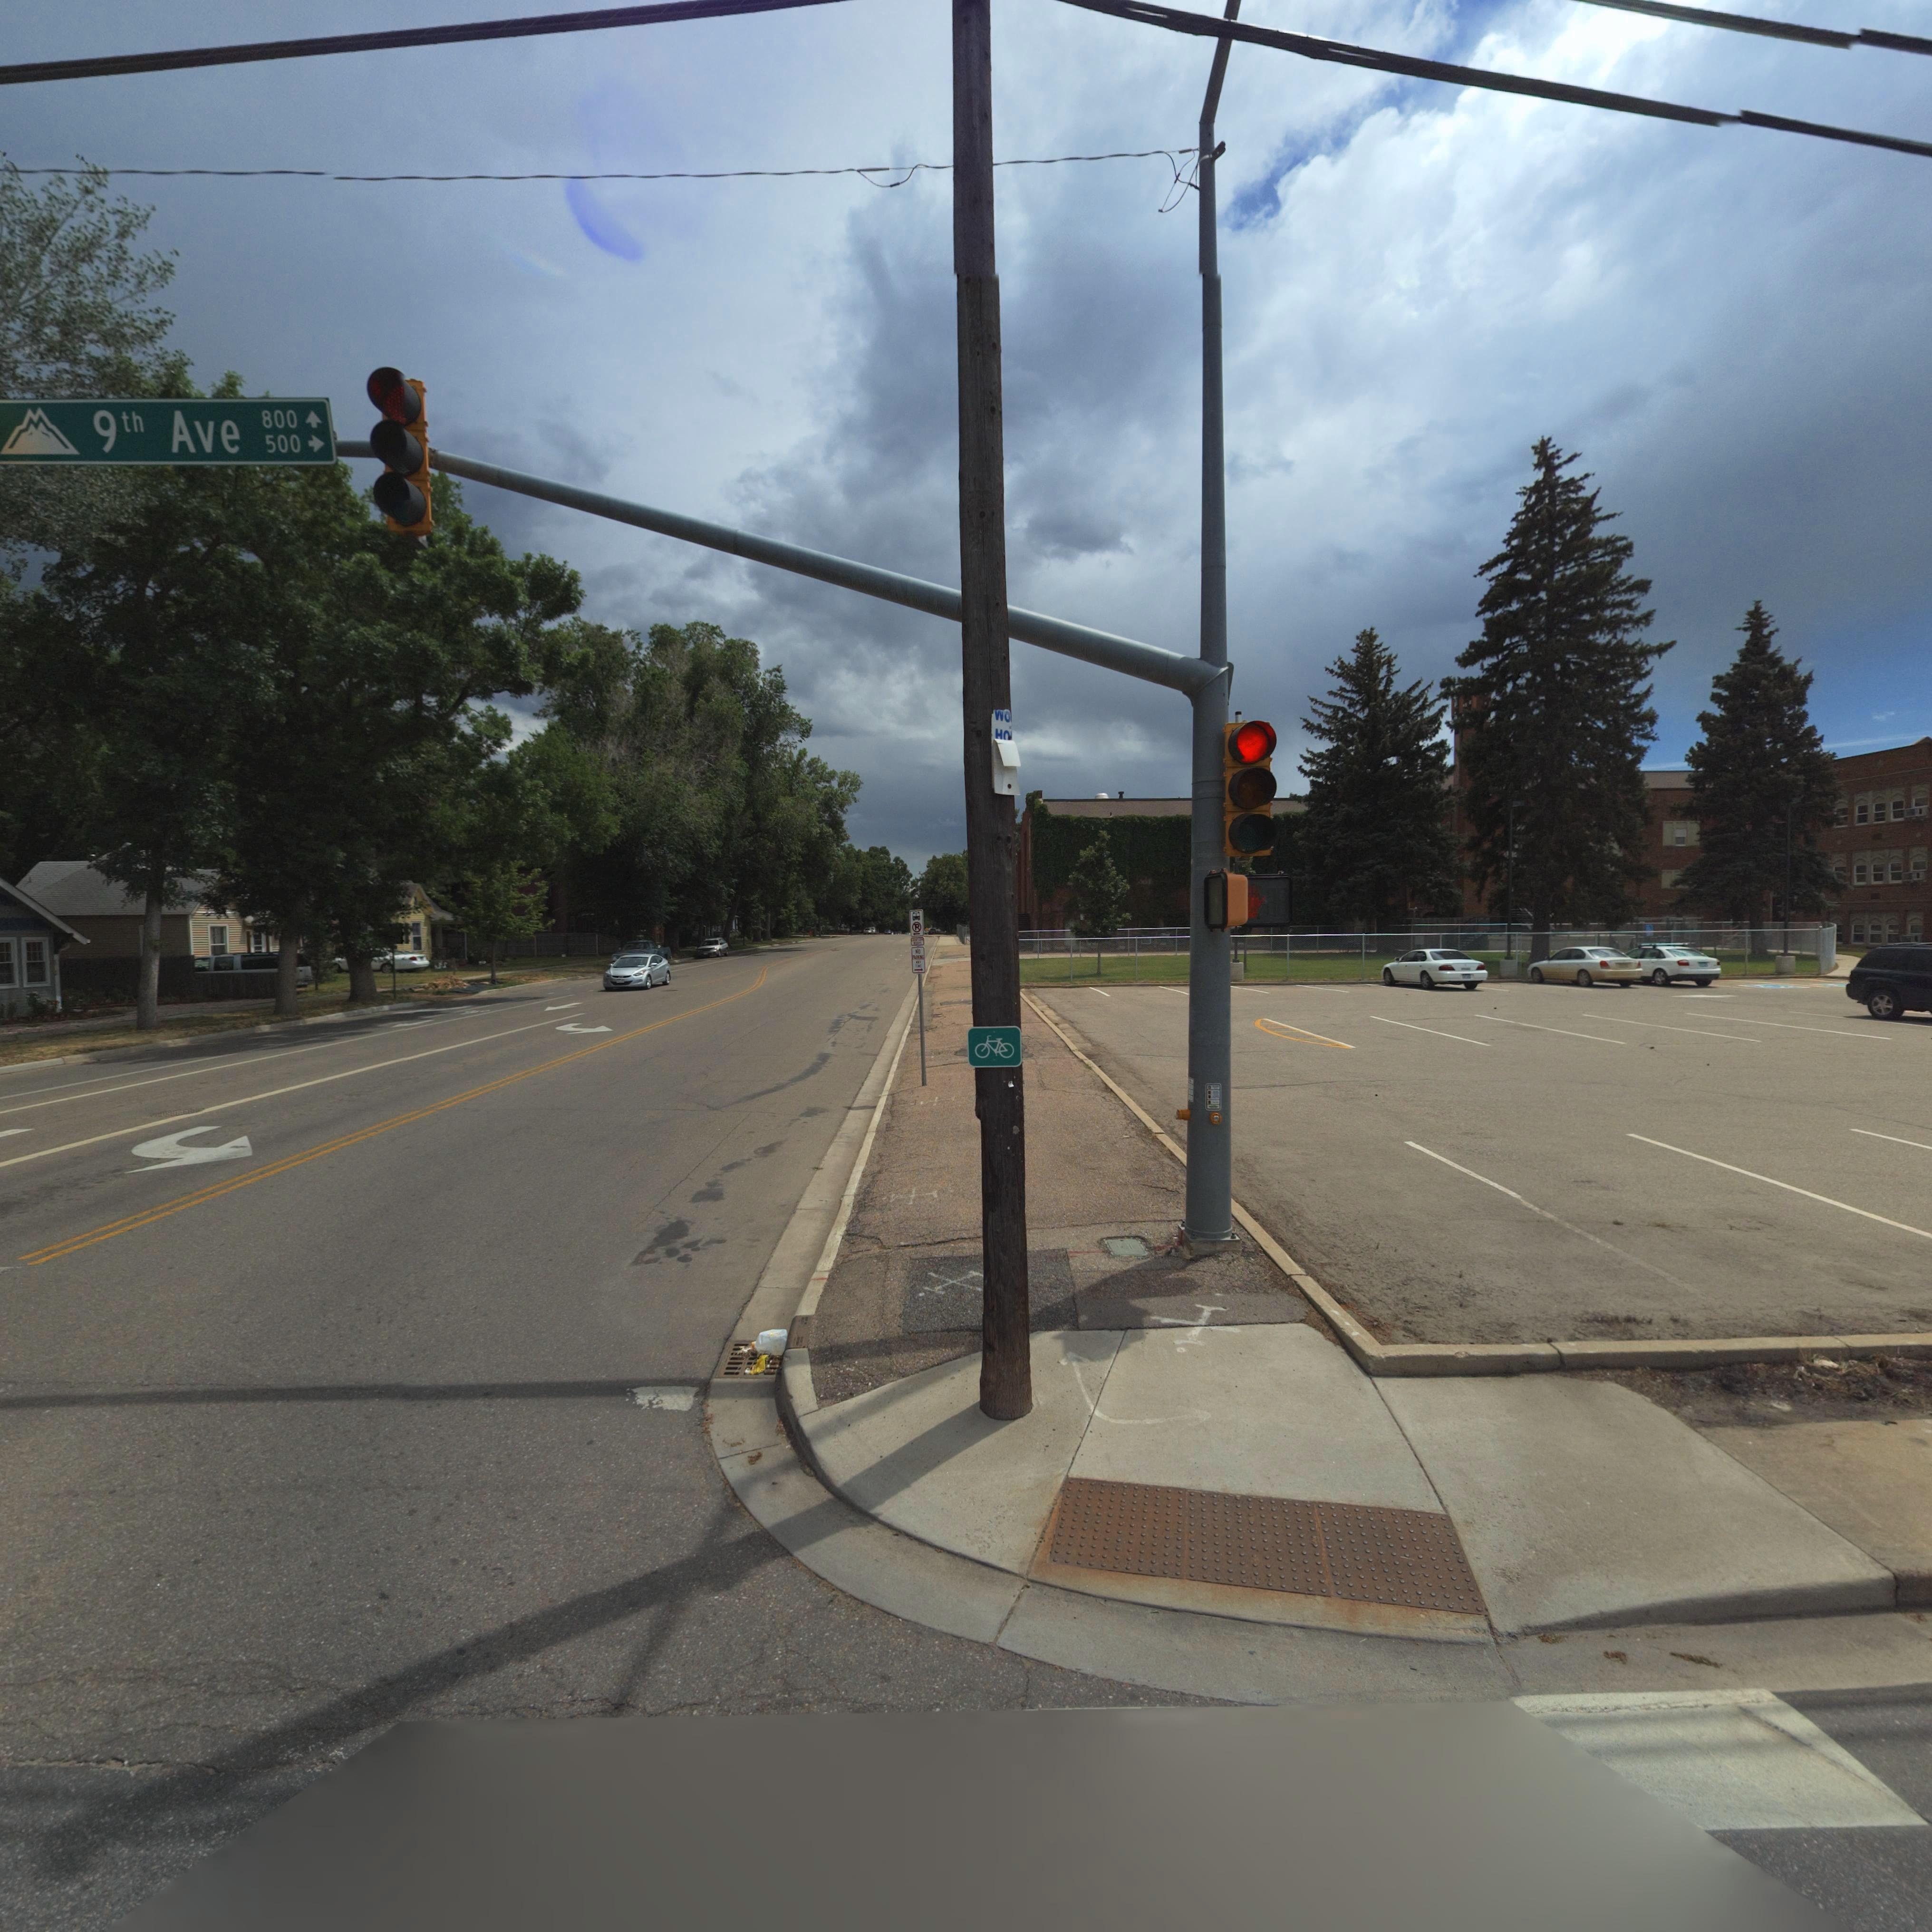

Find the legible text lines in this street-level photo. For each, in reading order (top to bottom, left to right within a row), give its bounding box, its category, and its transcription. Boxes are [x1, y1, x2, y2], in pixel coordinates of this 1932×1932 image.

[260, 408, 298, 430] StreetNumberRange: 800
[92, 409, 240, 455] StreetName: 9th Ave
[264, 434, 325, 454] StreetNumberRange: 500->